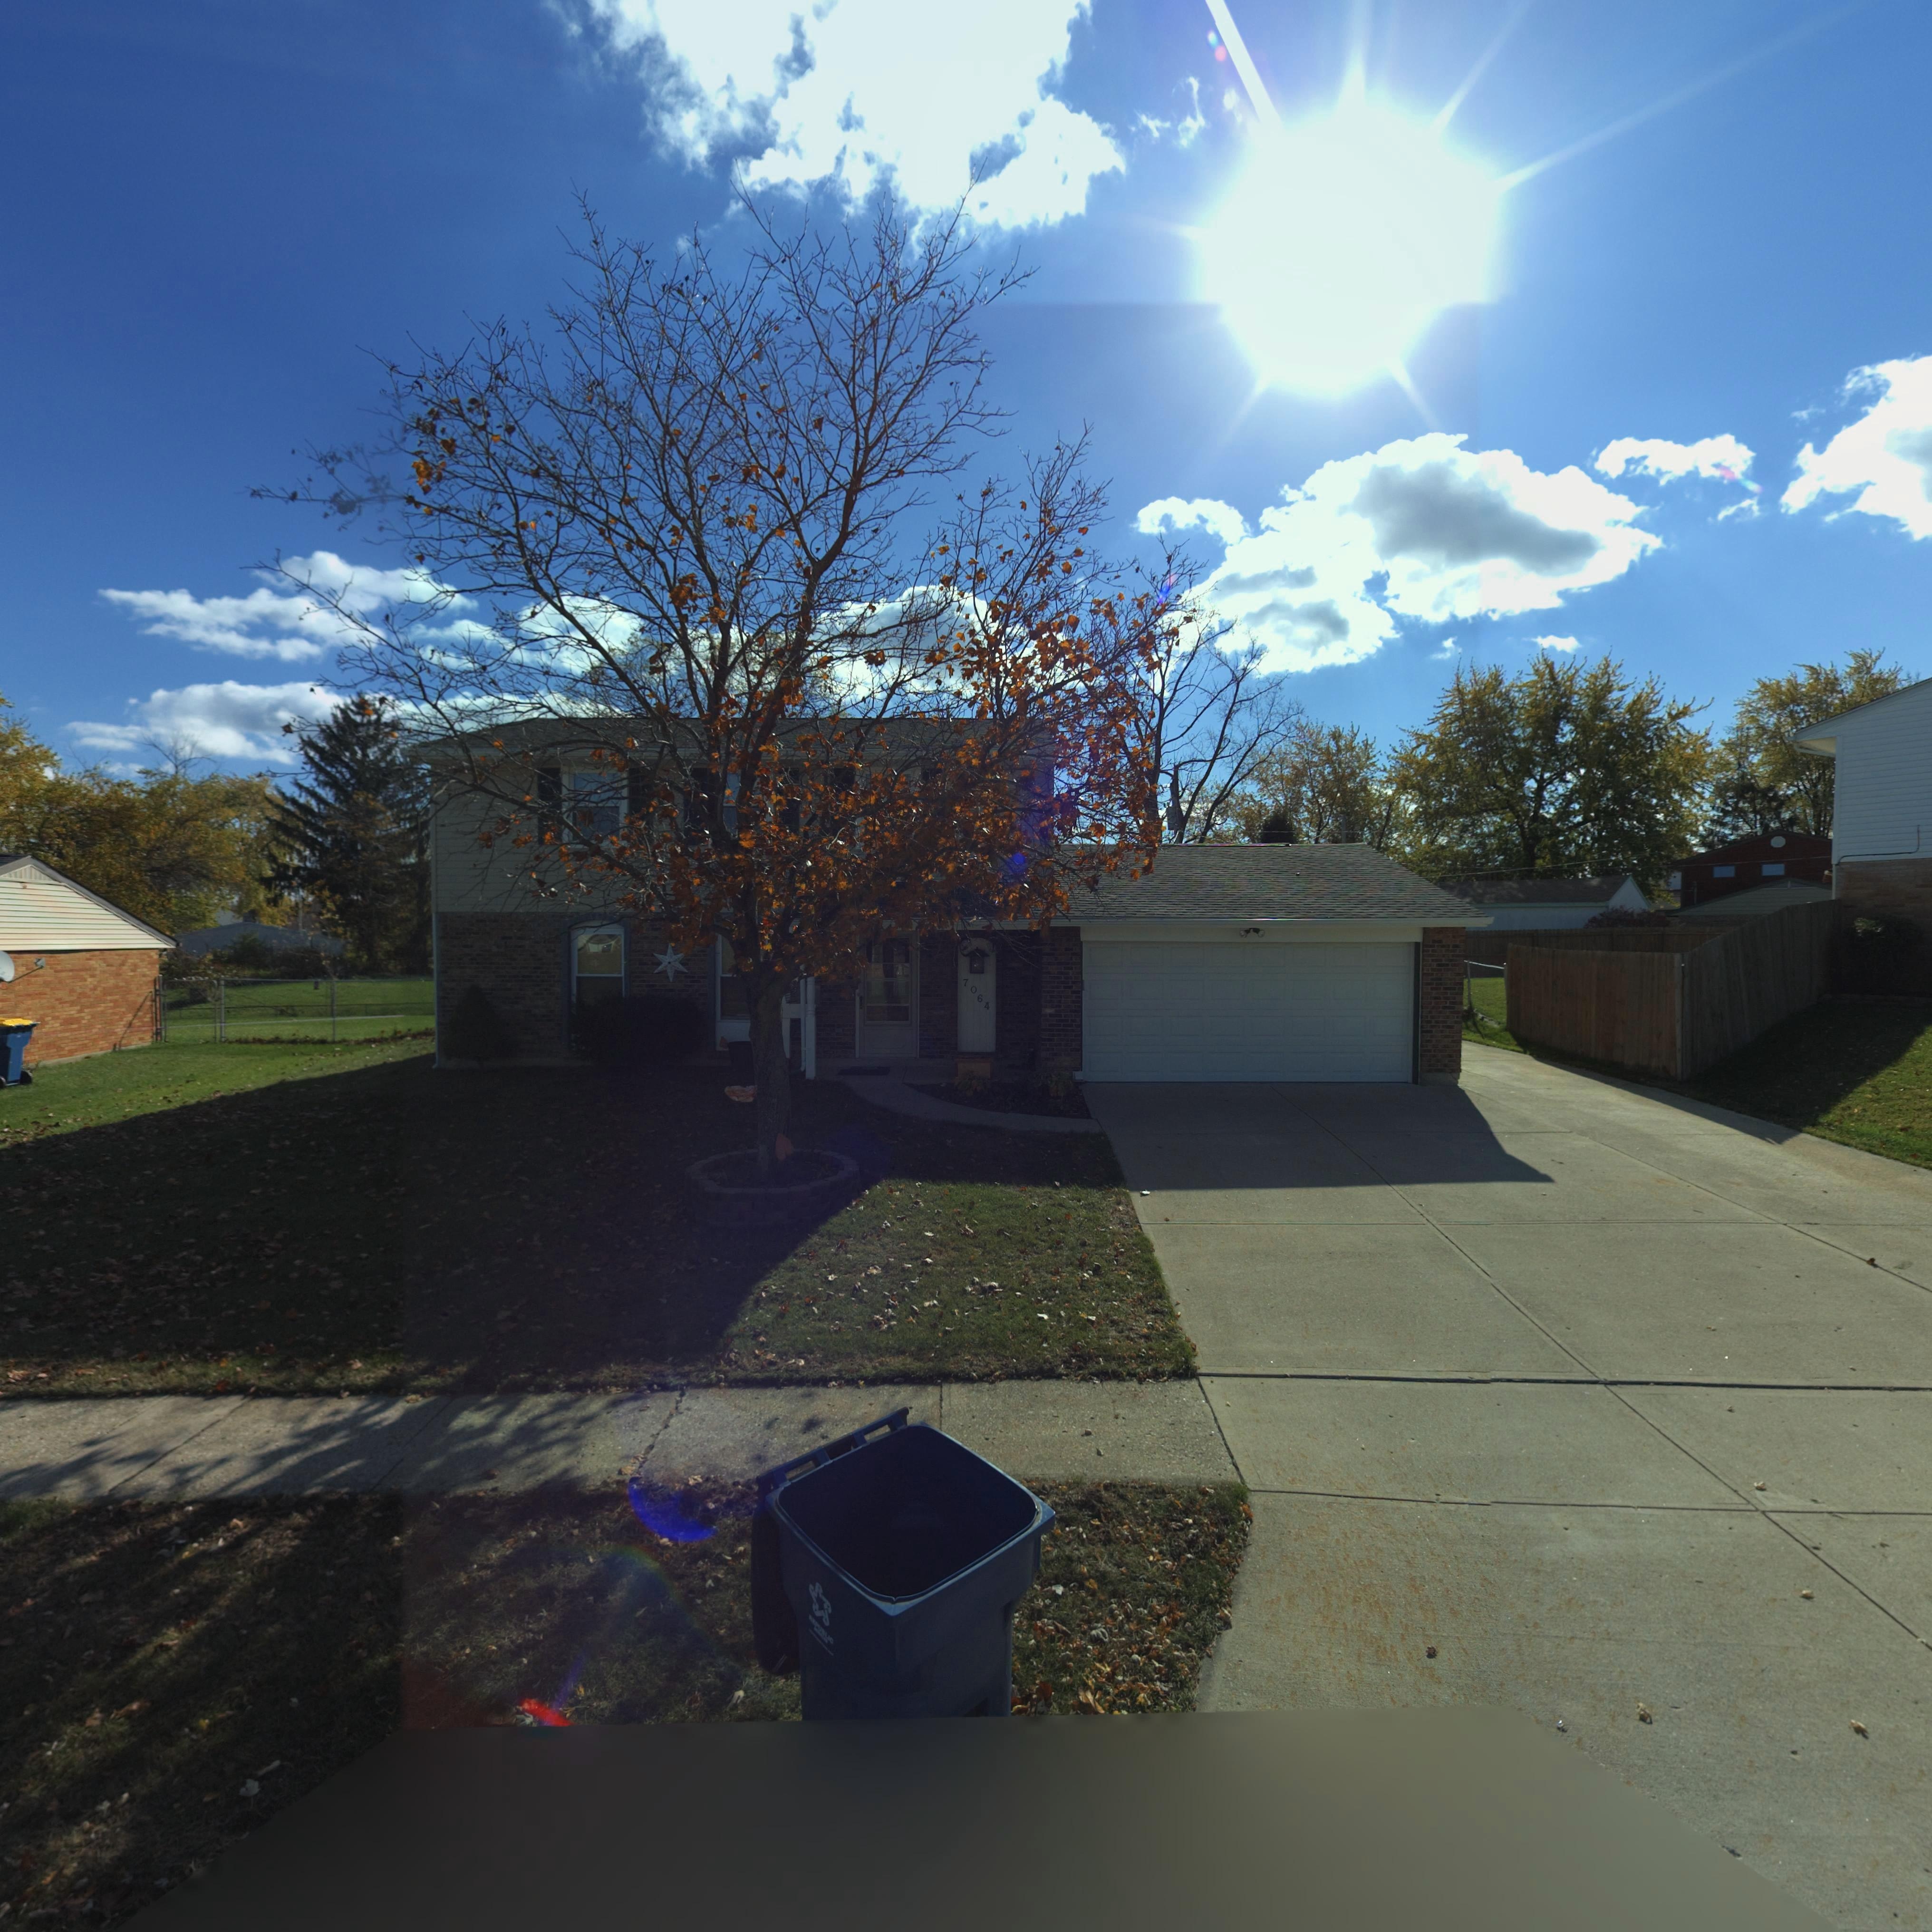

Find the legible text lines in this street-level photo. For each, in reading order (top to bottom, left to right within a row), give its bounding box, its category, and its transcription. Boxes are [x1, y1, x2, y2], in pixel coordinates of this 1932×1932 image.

[962, 978, 991, 1012] StreetNumber: 7064